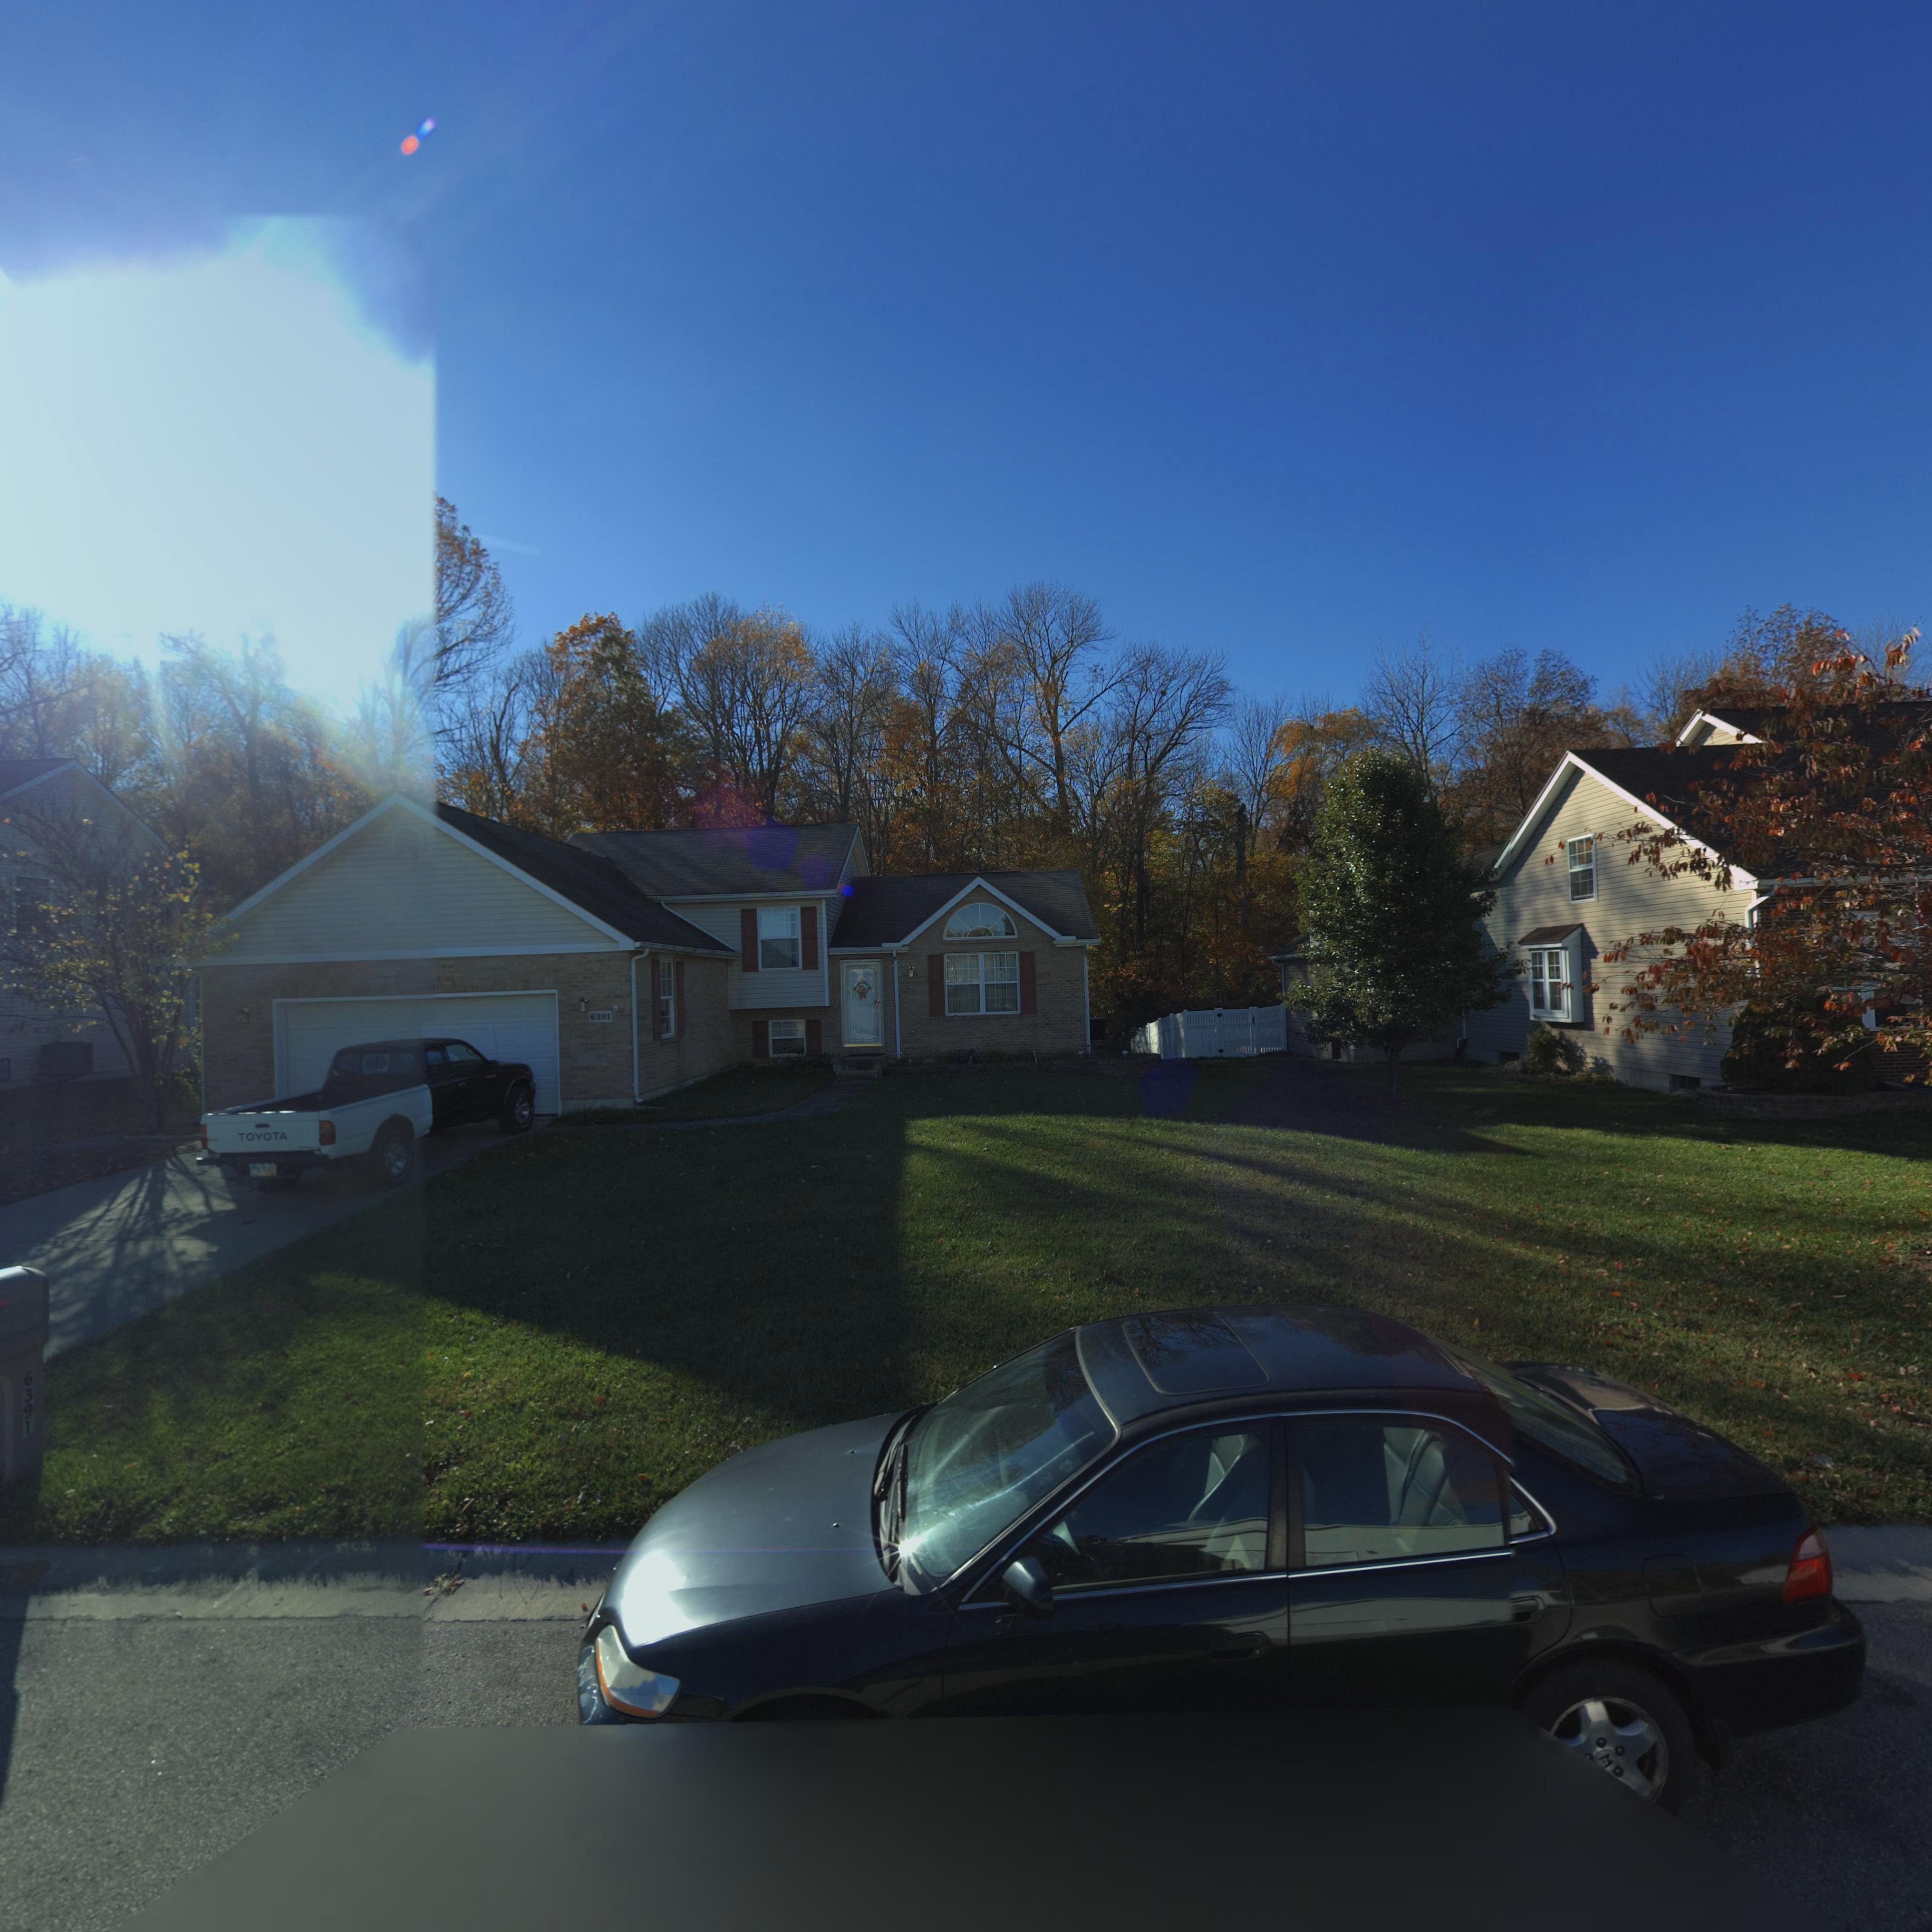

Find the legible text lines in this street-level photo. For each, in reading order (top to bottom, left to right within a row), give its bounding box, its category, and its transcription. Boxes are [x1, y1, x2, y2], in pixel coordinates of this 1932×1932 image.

[590, 1013, 611, 1020] StreetNumber: 6391
[237, 1131, 288, 1142] None: TOYOTA